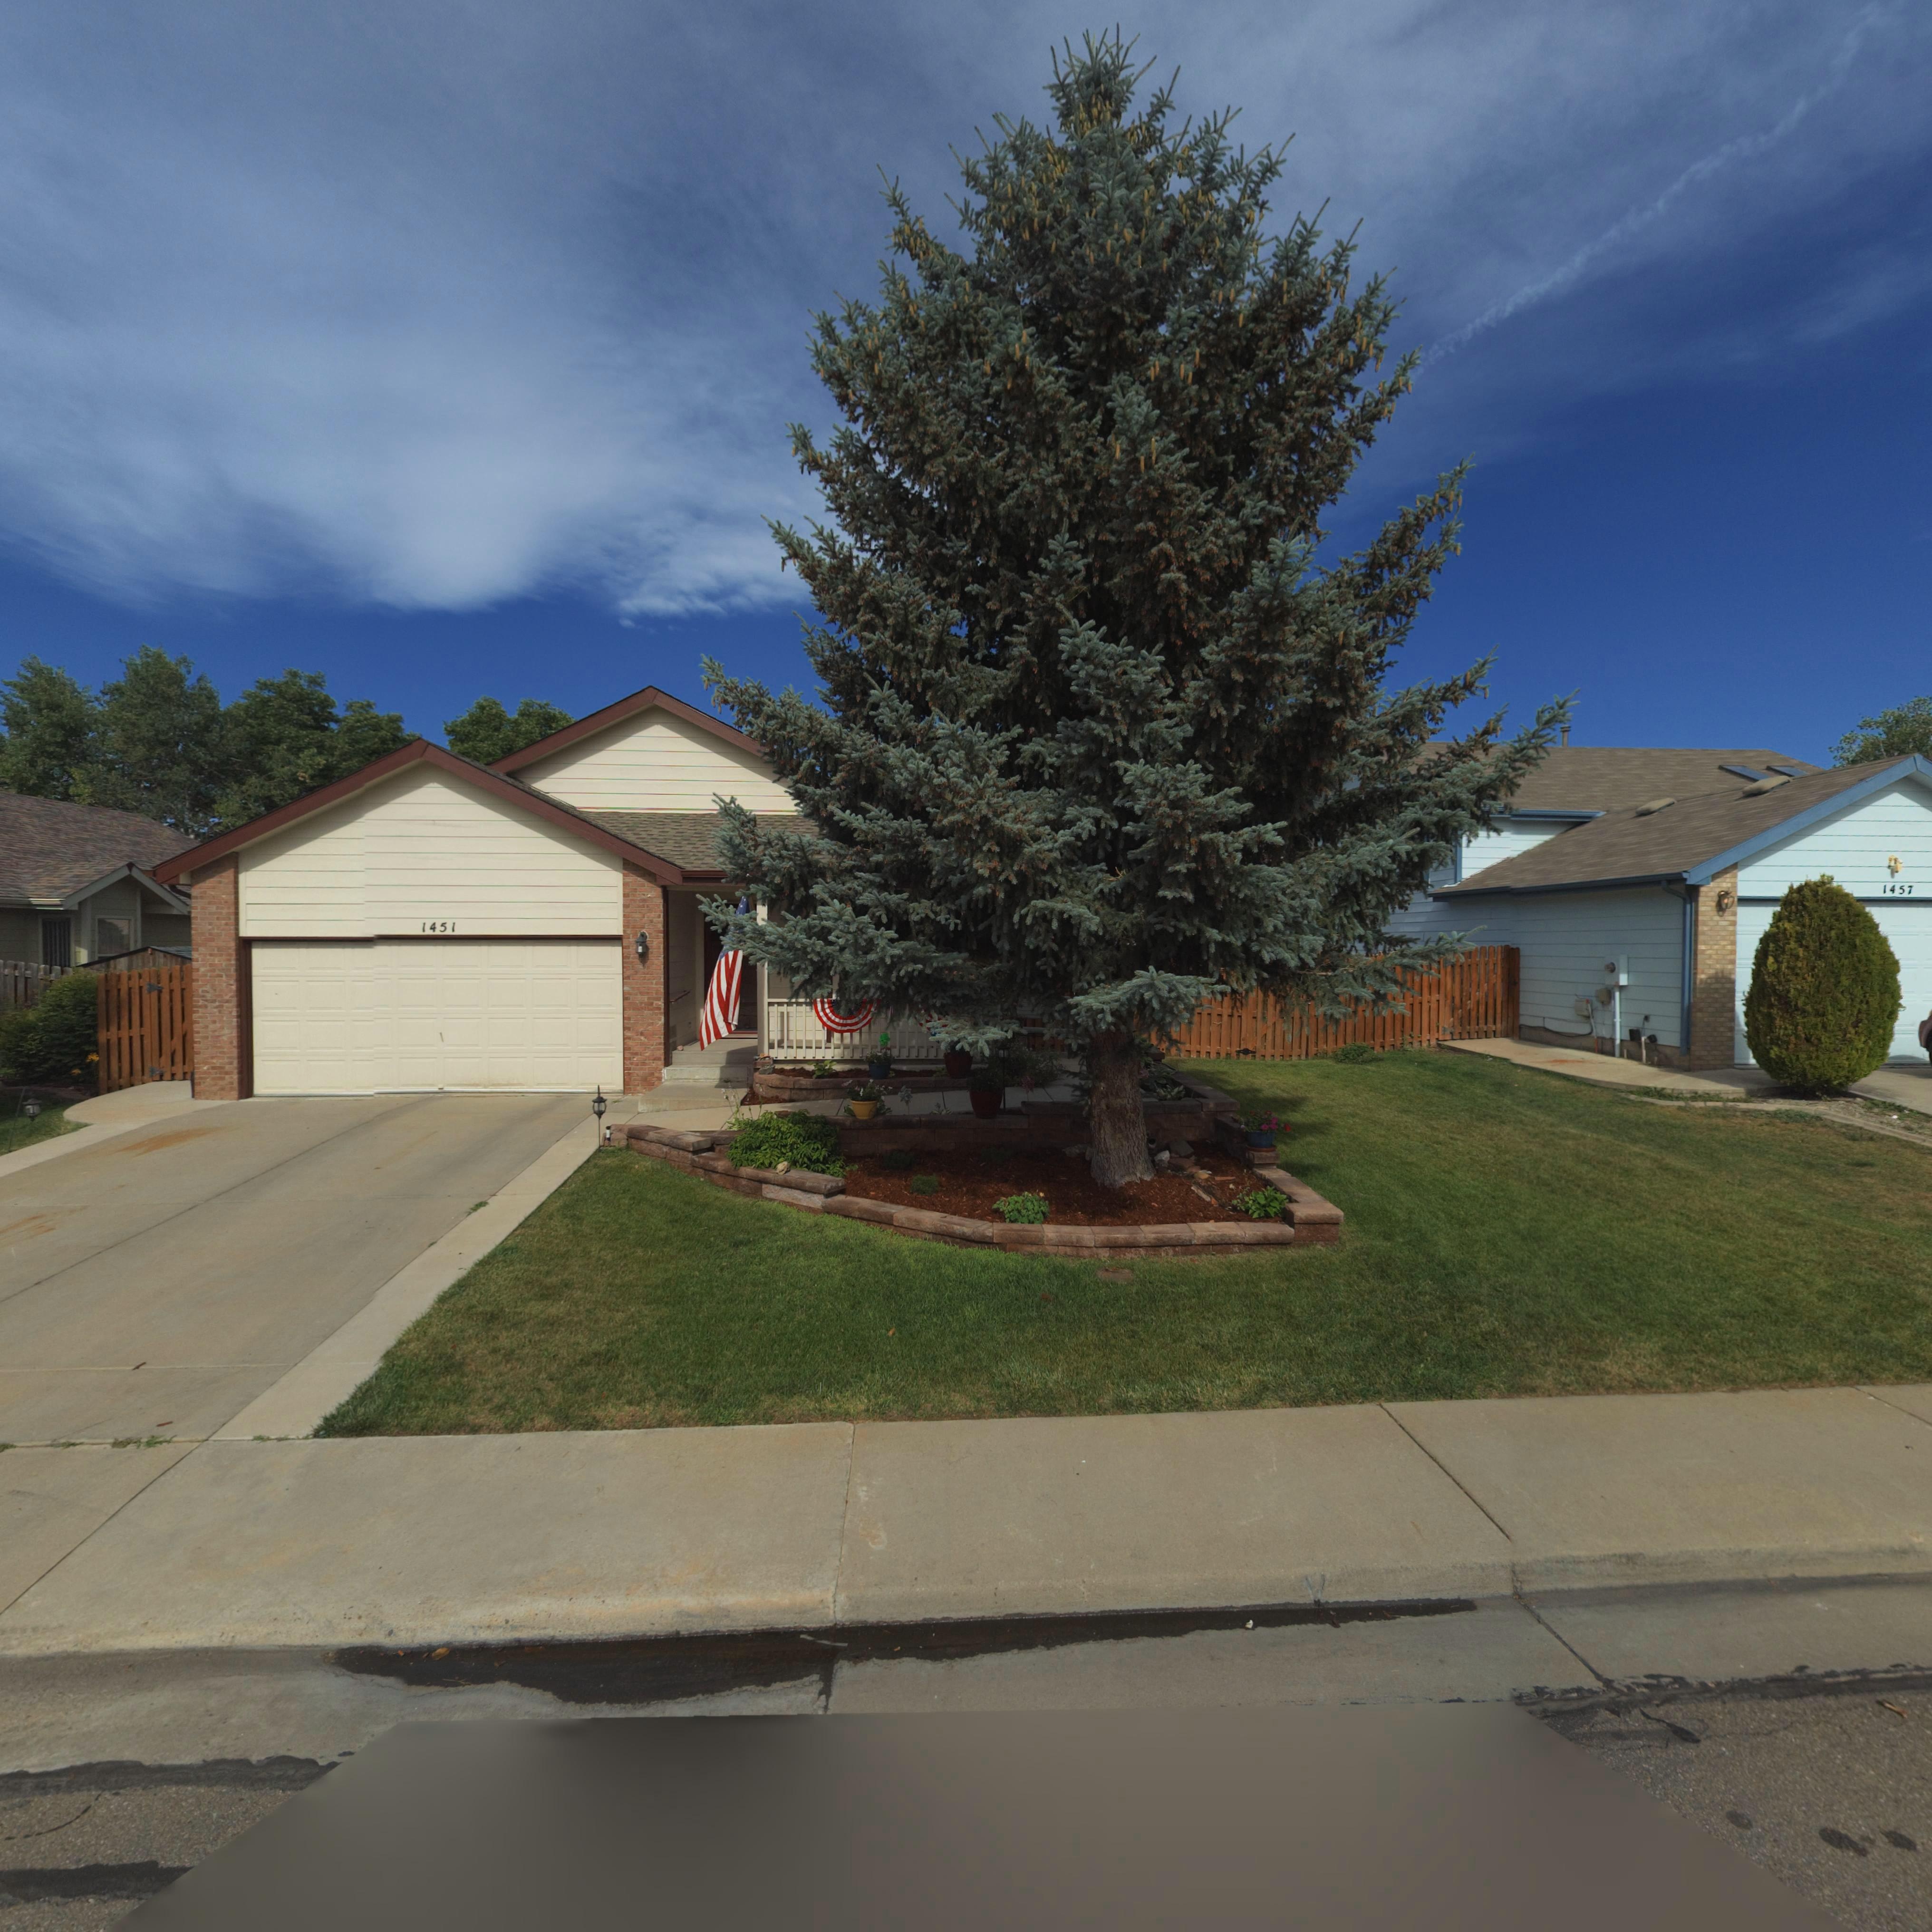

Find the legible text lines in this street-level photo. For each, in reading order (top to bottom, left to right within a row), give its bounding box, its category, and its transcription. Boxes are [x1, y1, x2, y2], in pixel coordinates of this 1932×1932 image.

[1882, 883, 1914, 895] StreetNumber: 1457
[421, 920, 455, 933] StreetNumber: 1451